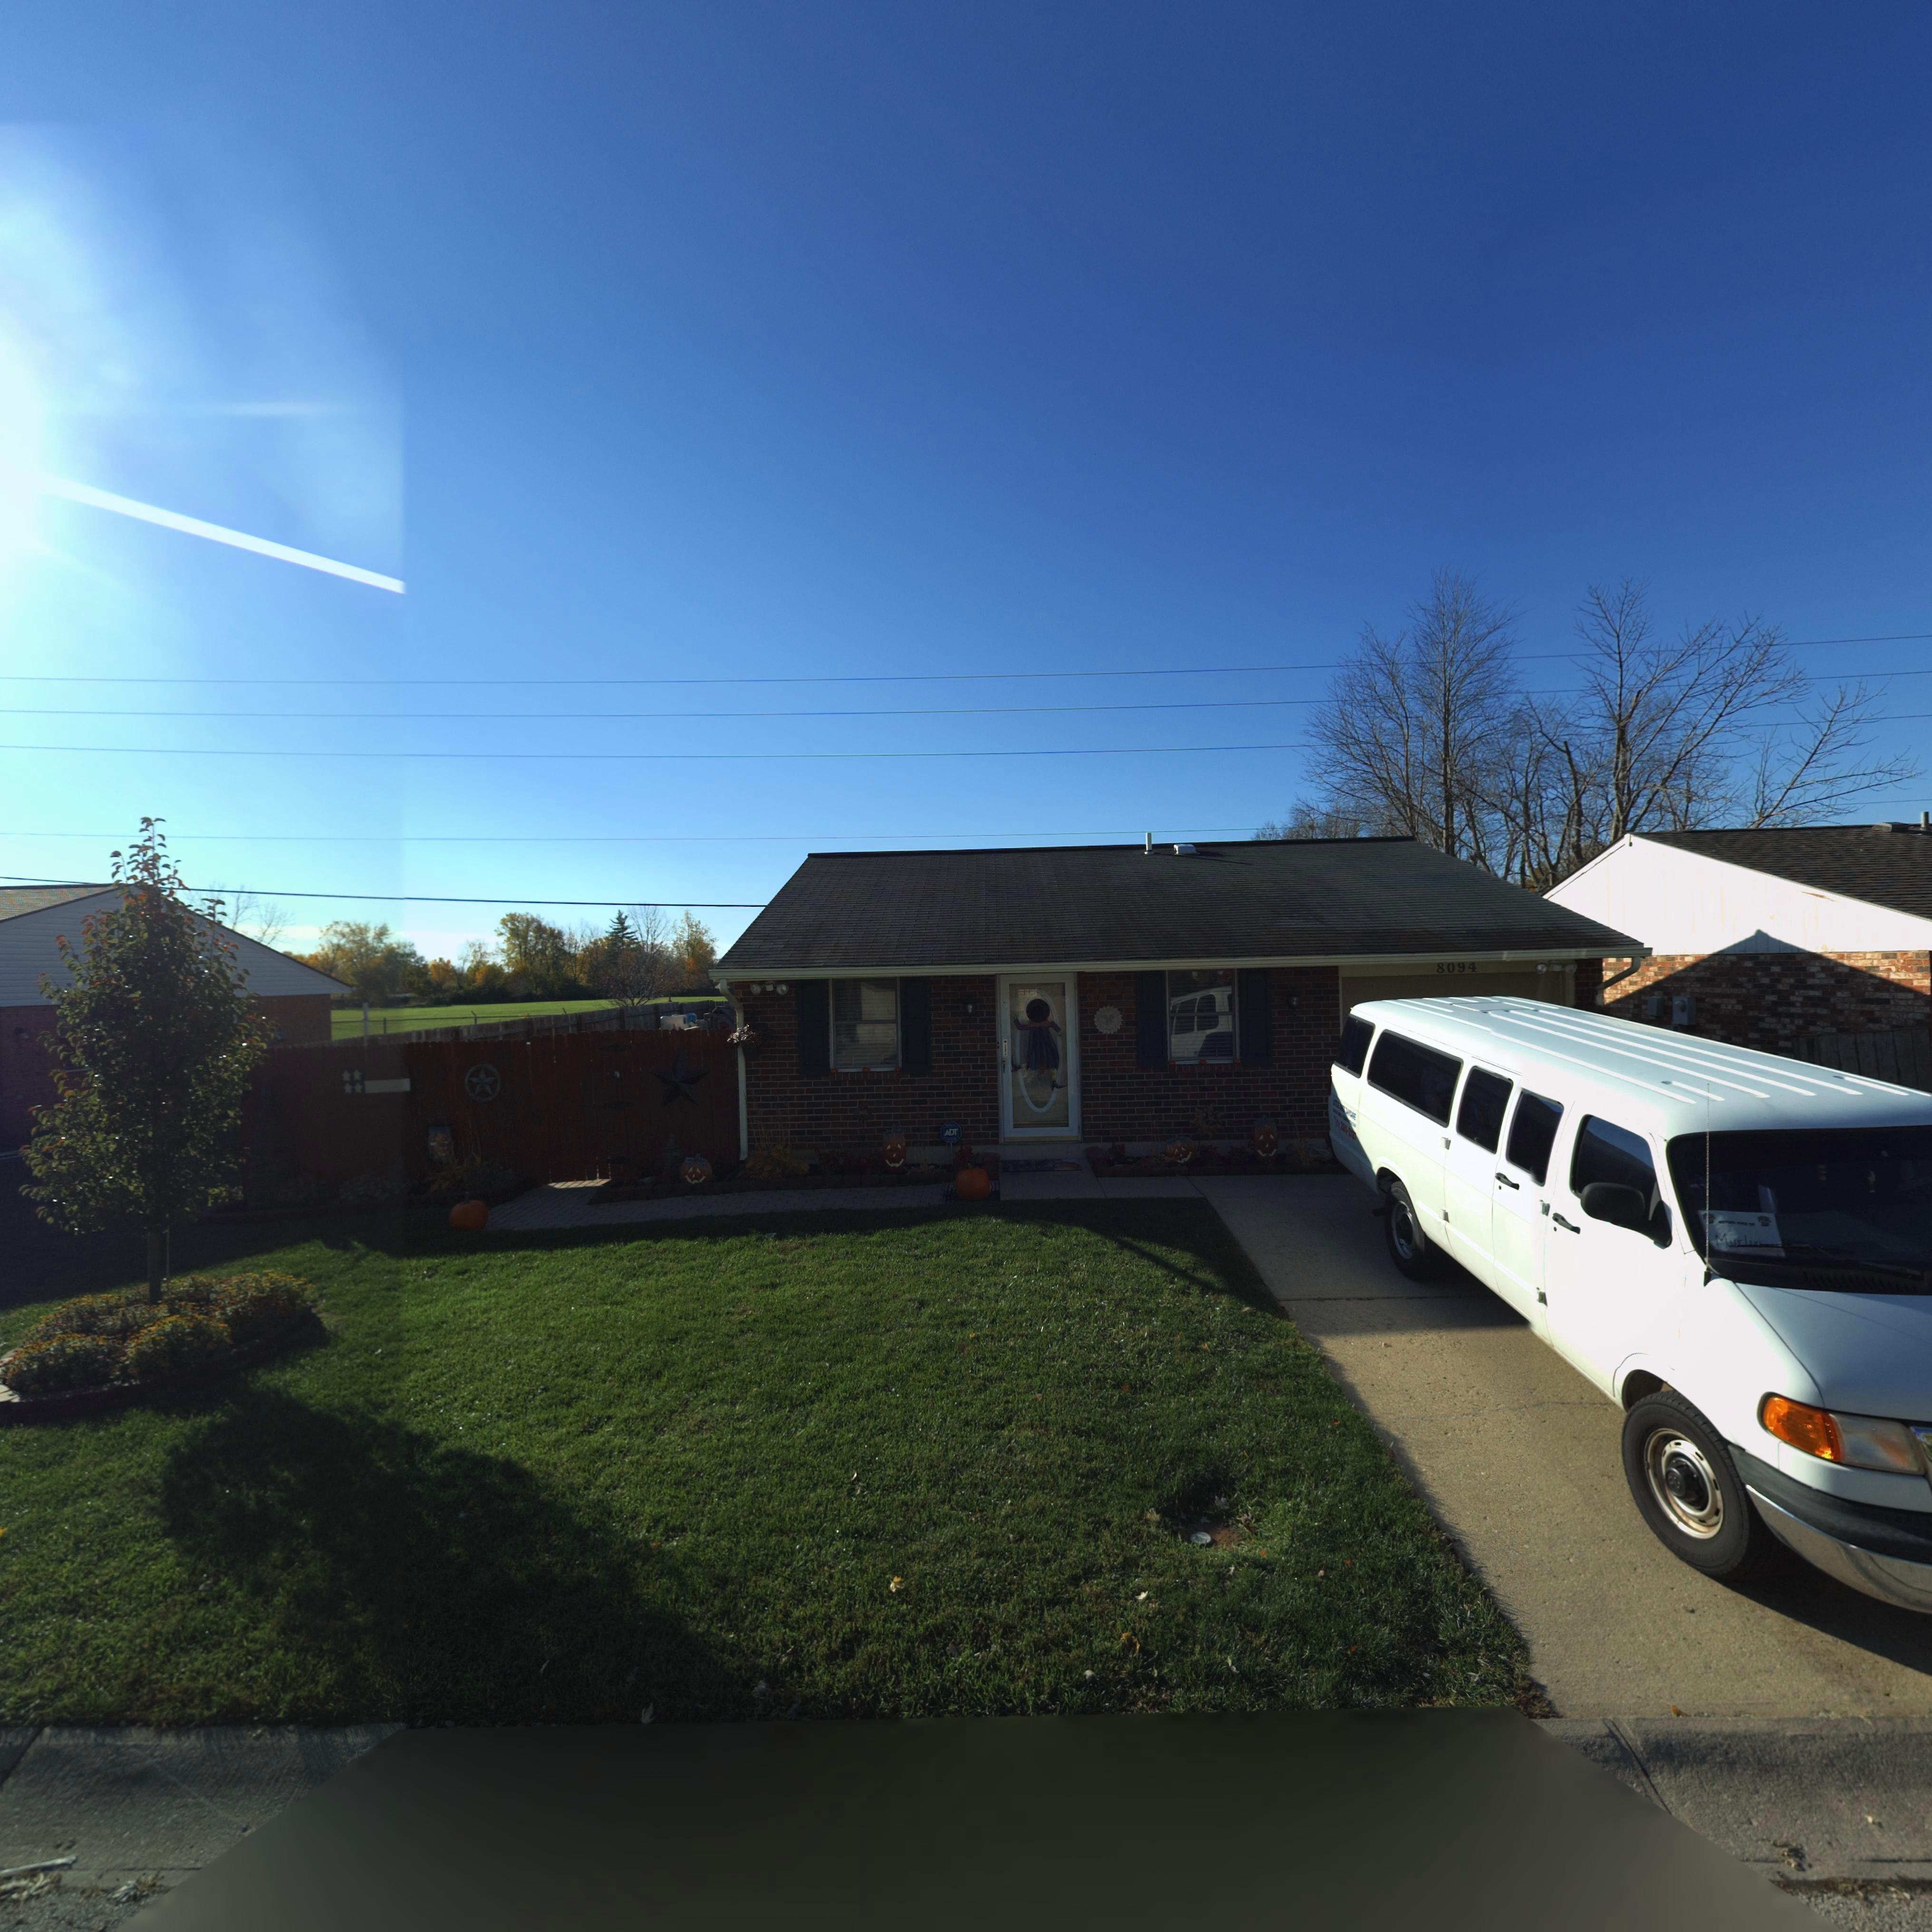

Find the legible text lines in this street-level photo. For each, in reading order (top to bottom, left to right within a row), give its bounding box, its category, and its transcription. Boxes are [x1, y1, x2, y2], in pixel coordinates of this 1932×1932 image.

[1435, 961, 1479, 975] StreetNumber: 8094